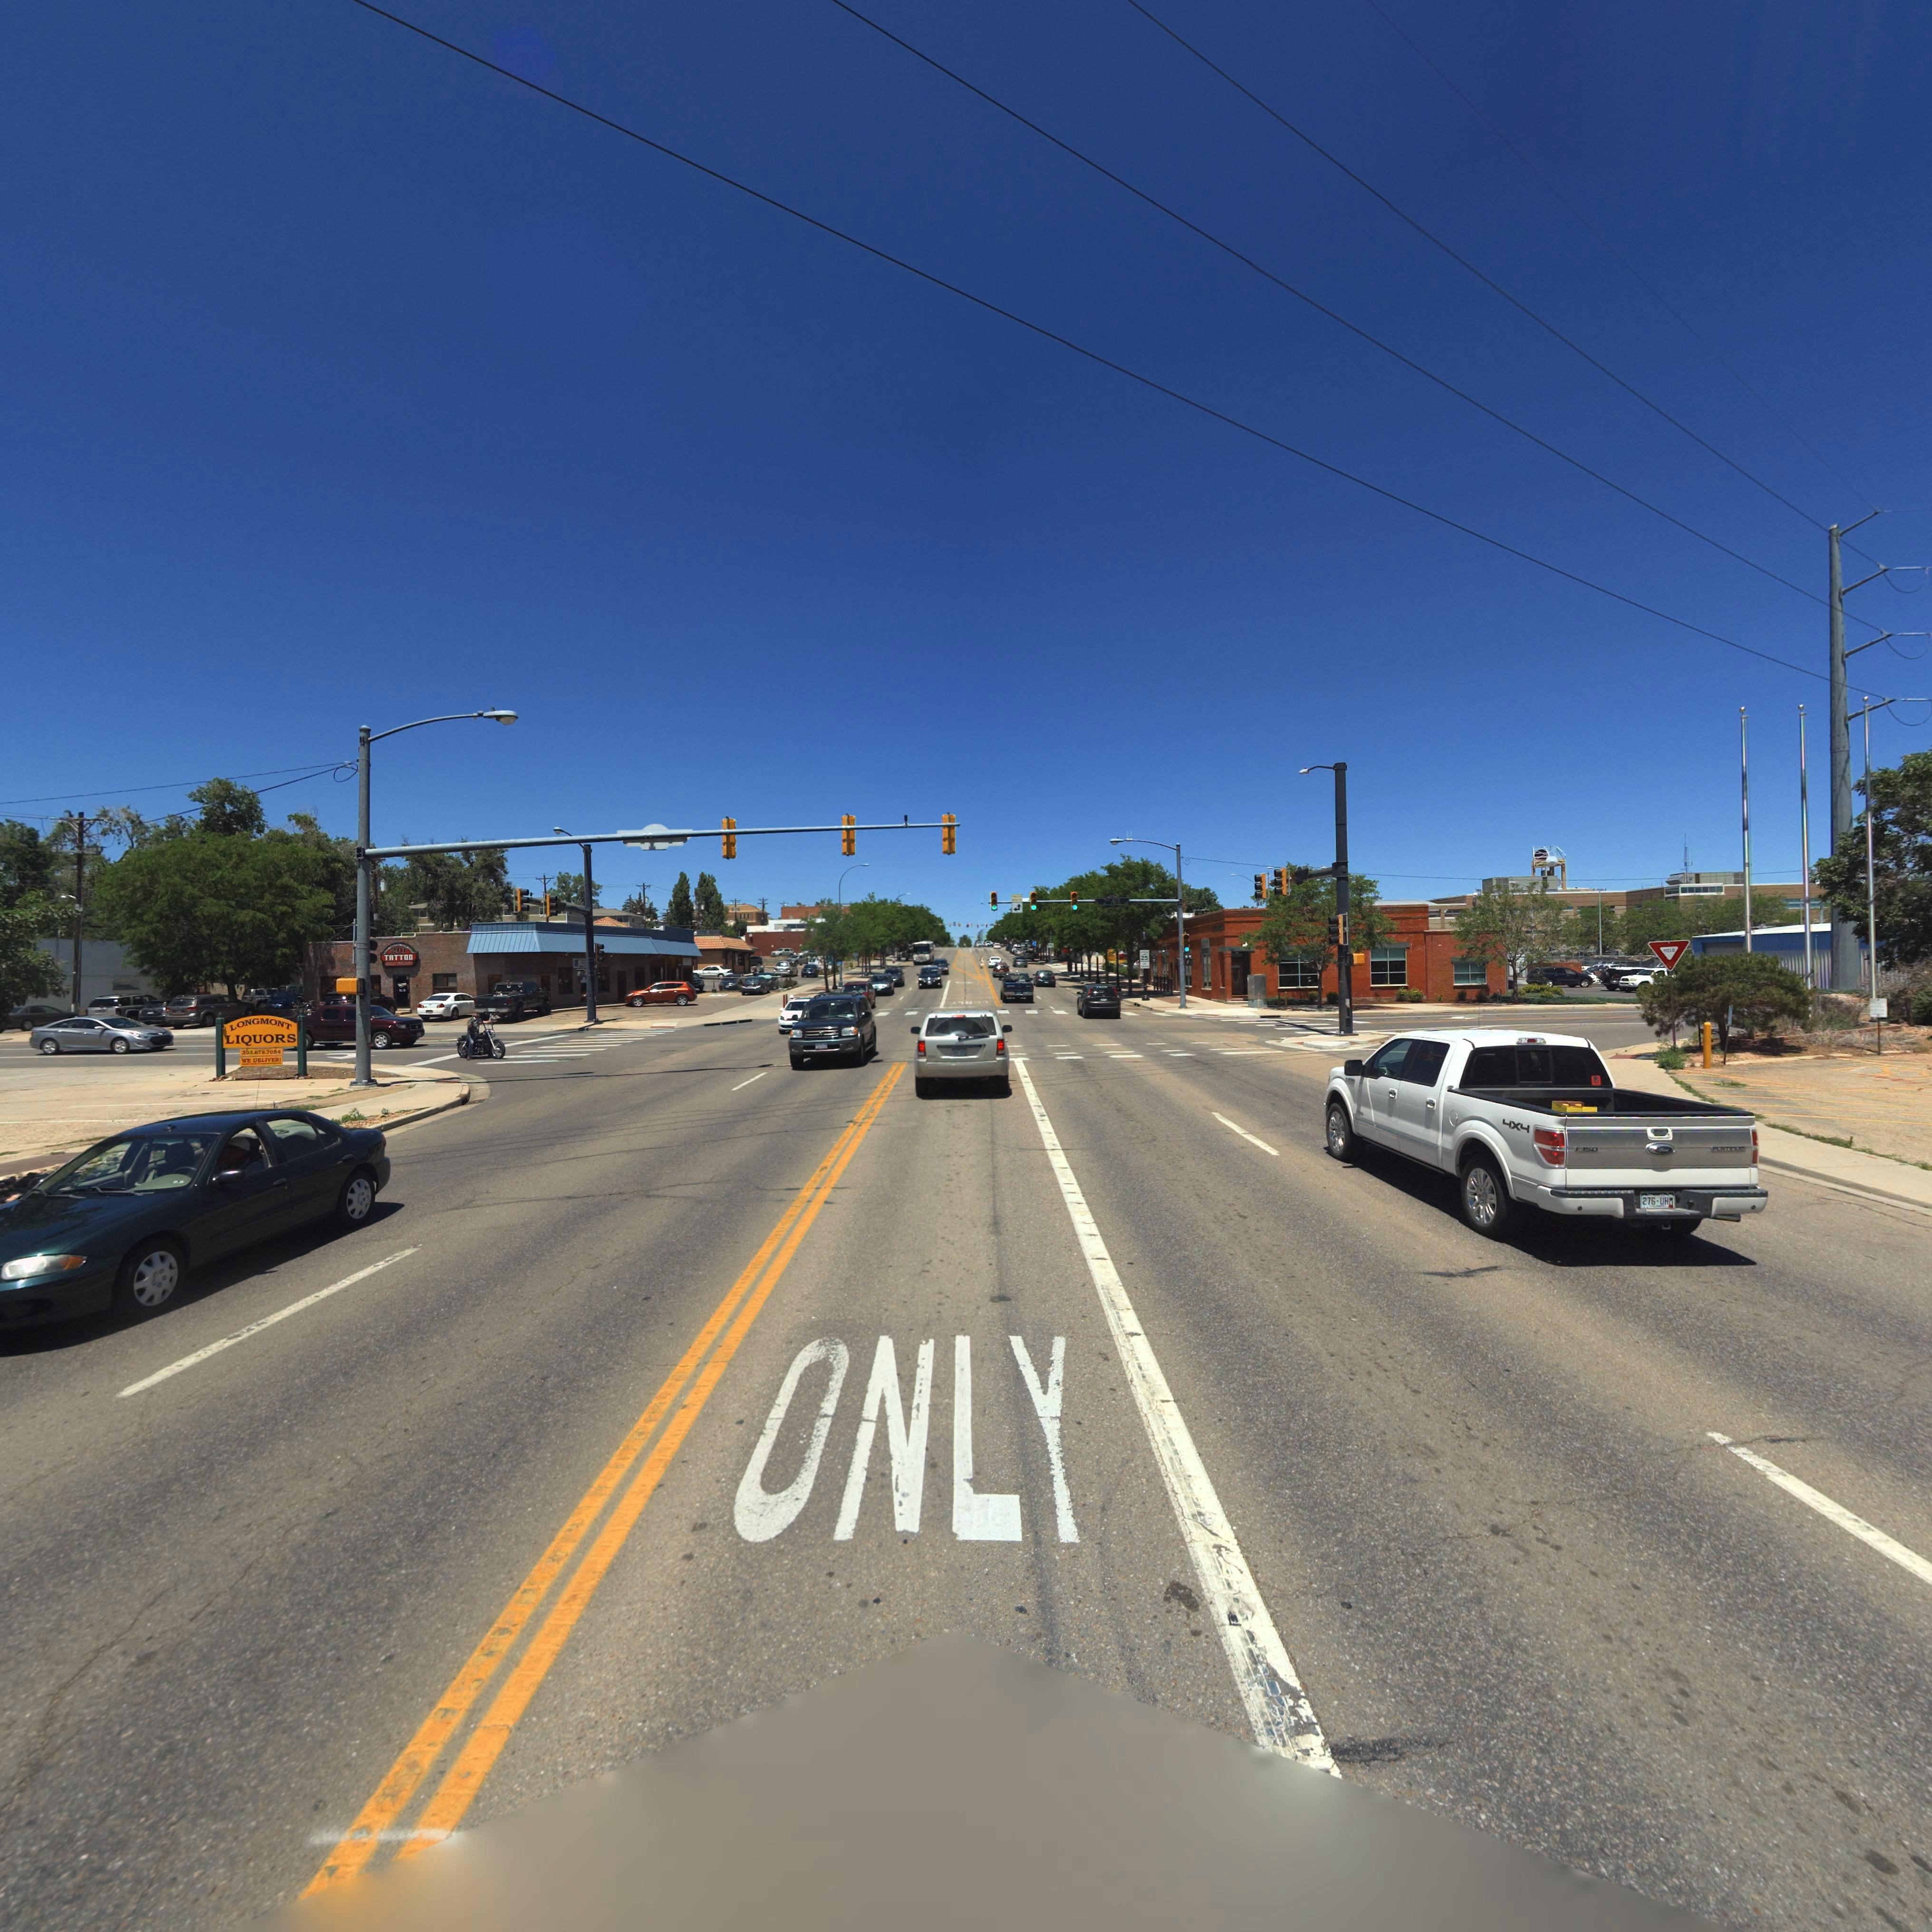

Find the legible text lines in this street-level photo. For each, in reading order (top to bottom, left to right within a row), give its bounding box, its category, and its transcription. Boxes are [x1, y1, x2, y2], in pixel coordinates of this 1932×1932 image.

[1102, 898, 1121, 904] StreetName: 2** AVE
[391, 946, 406, 953] StreetNumber: 201
[383, 954, 413, 961] BusinessName: TATTOO
[229, 1017, 292, 1032] BusinessName: LONGMONT
[225, 1034, 296, 1046] BusinessName: LIQUORS